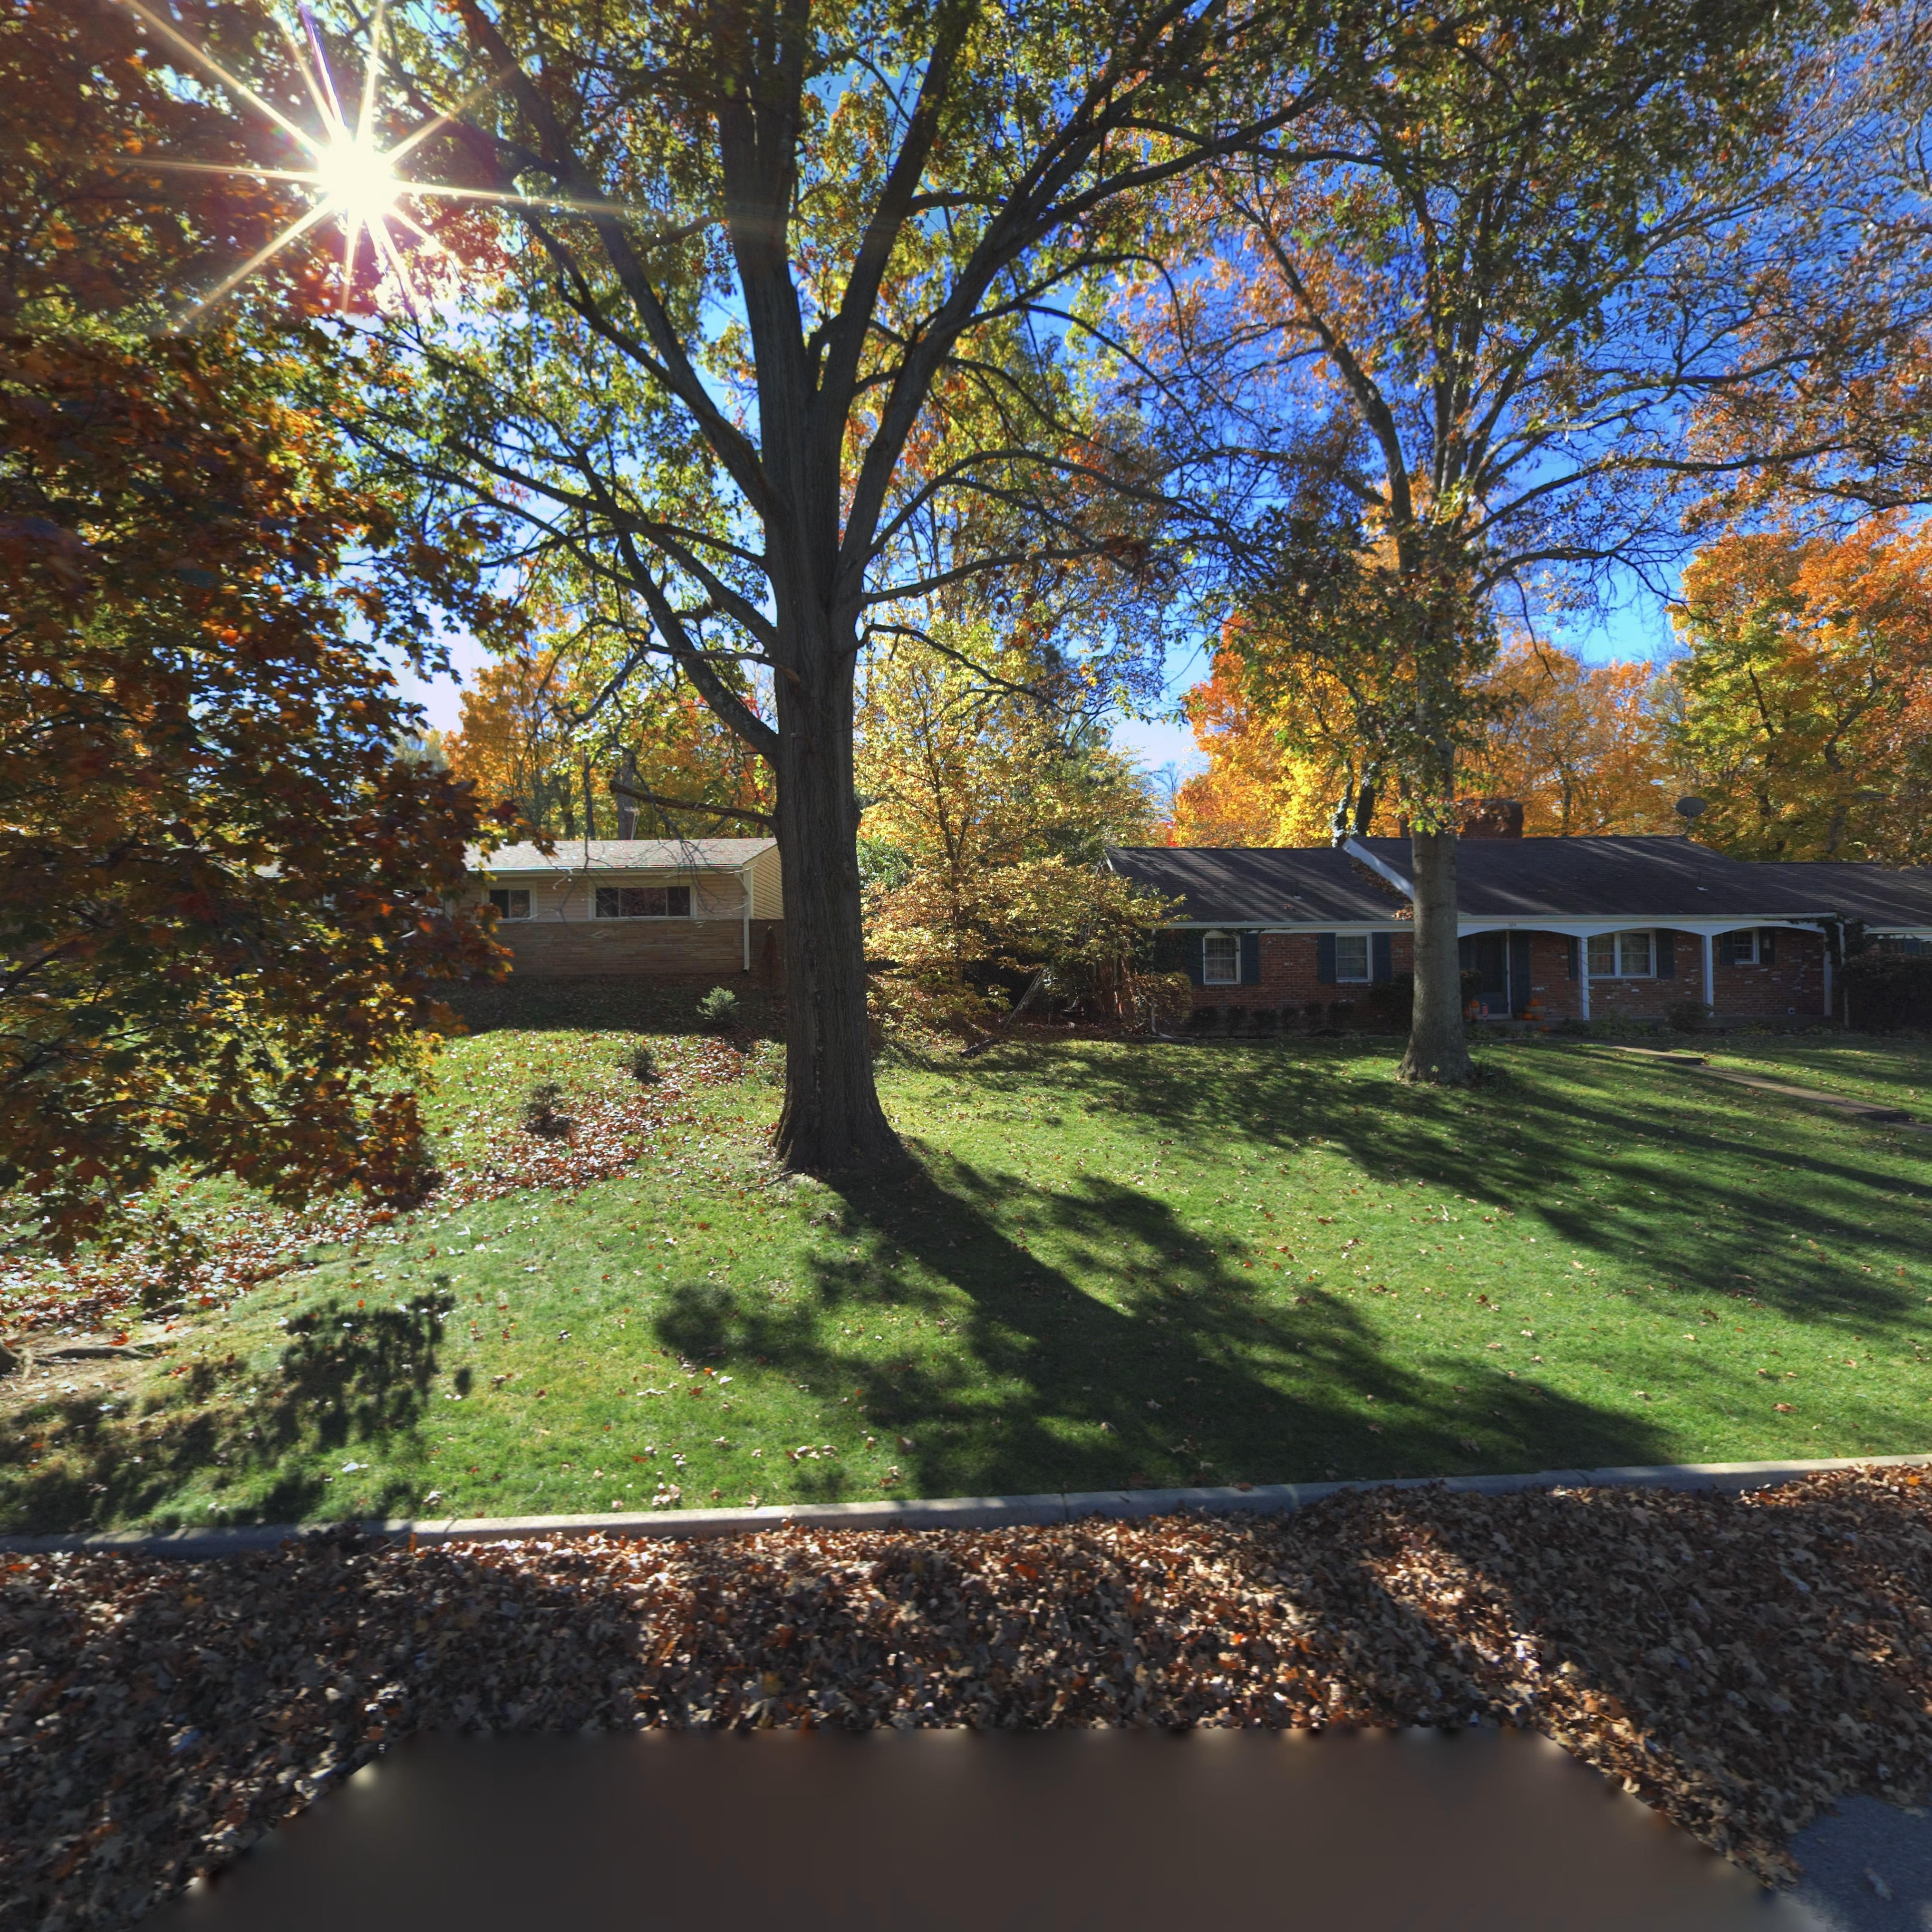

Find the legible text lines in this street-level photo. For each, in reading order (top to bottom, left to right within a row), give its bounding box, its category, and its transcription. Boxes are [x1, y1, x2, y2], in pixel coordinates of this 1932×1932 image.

[1507, 921, 1517, 927] StreetNumber: 3*4